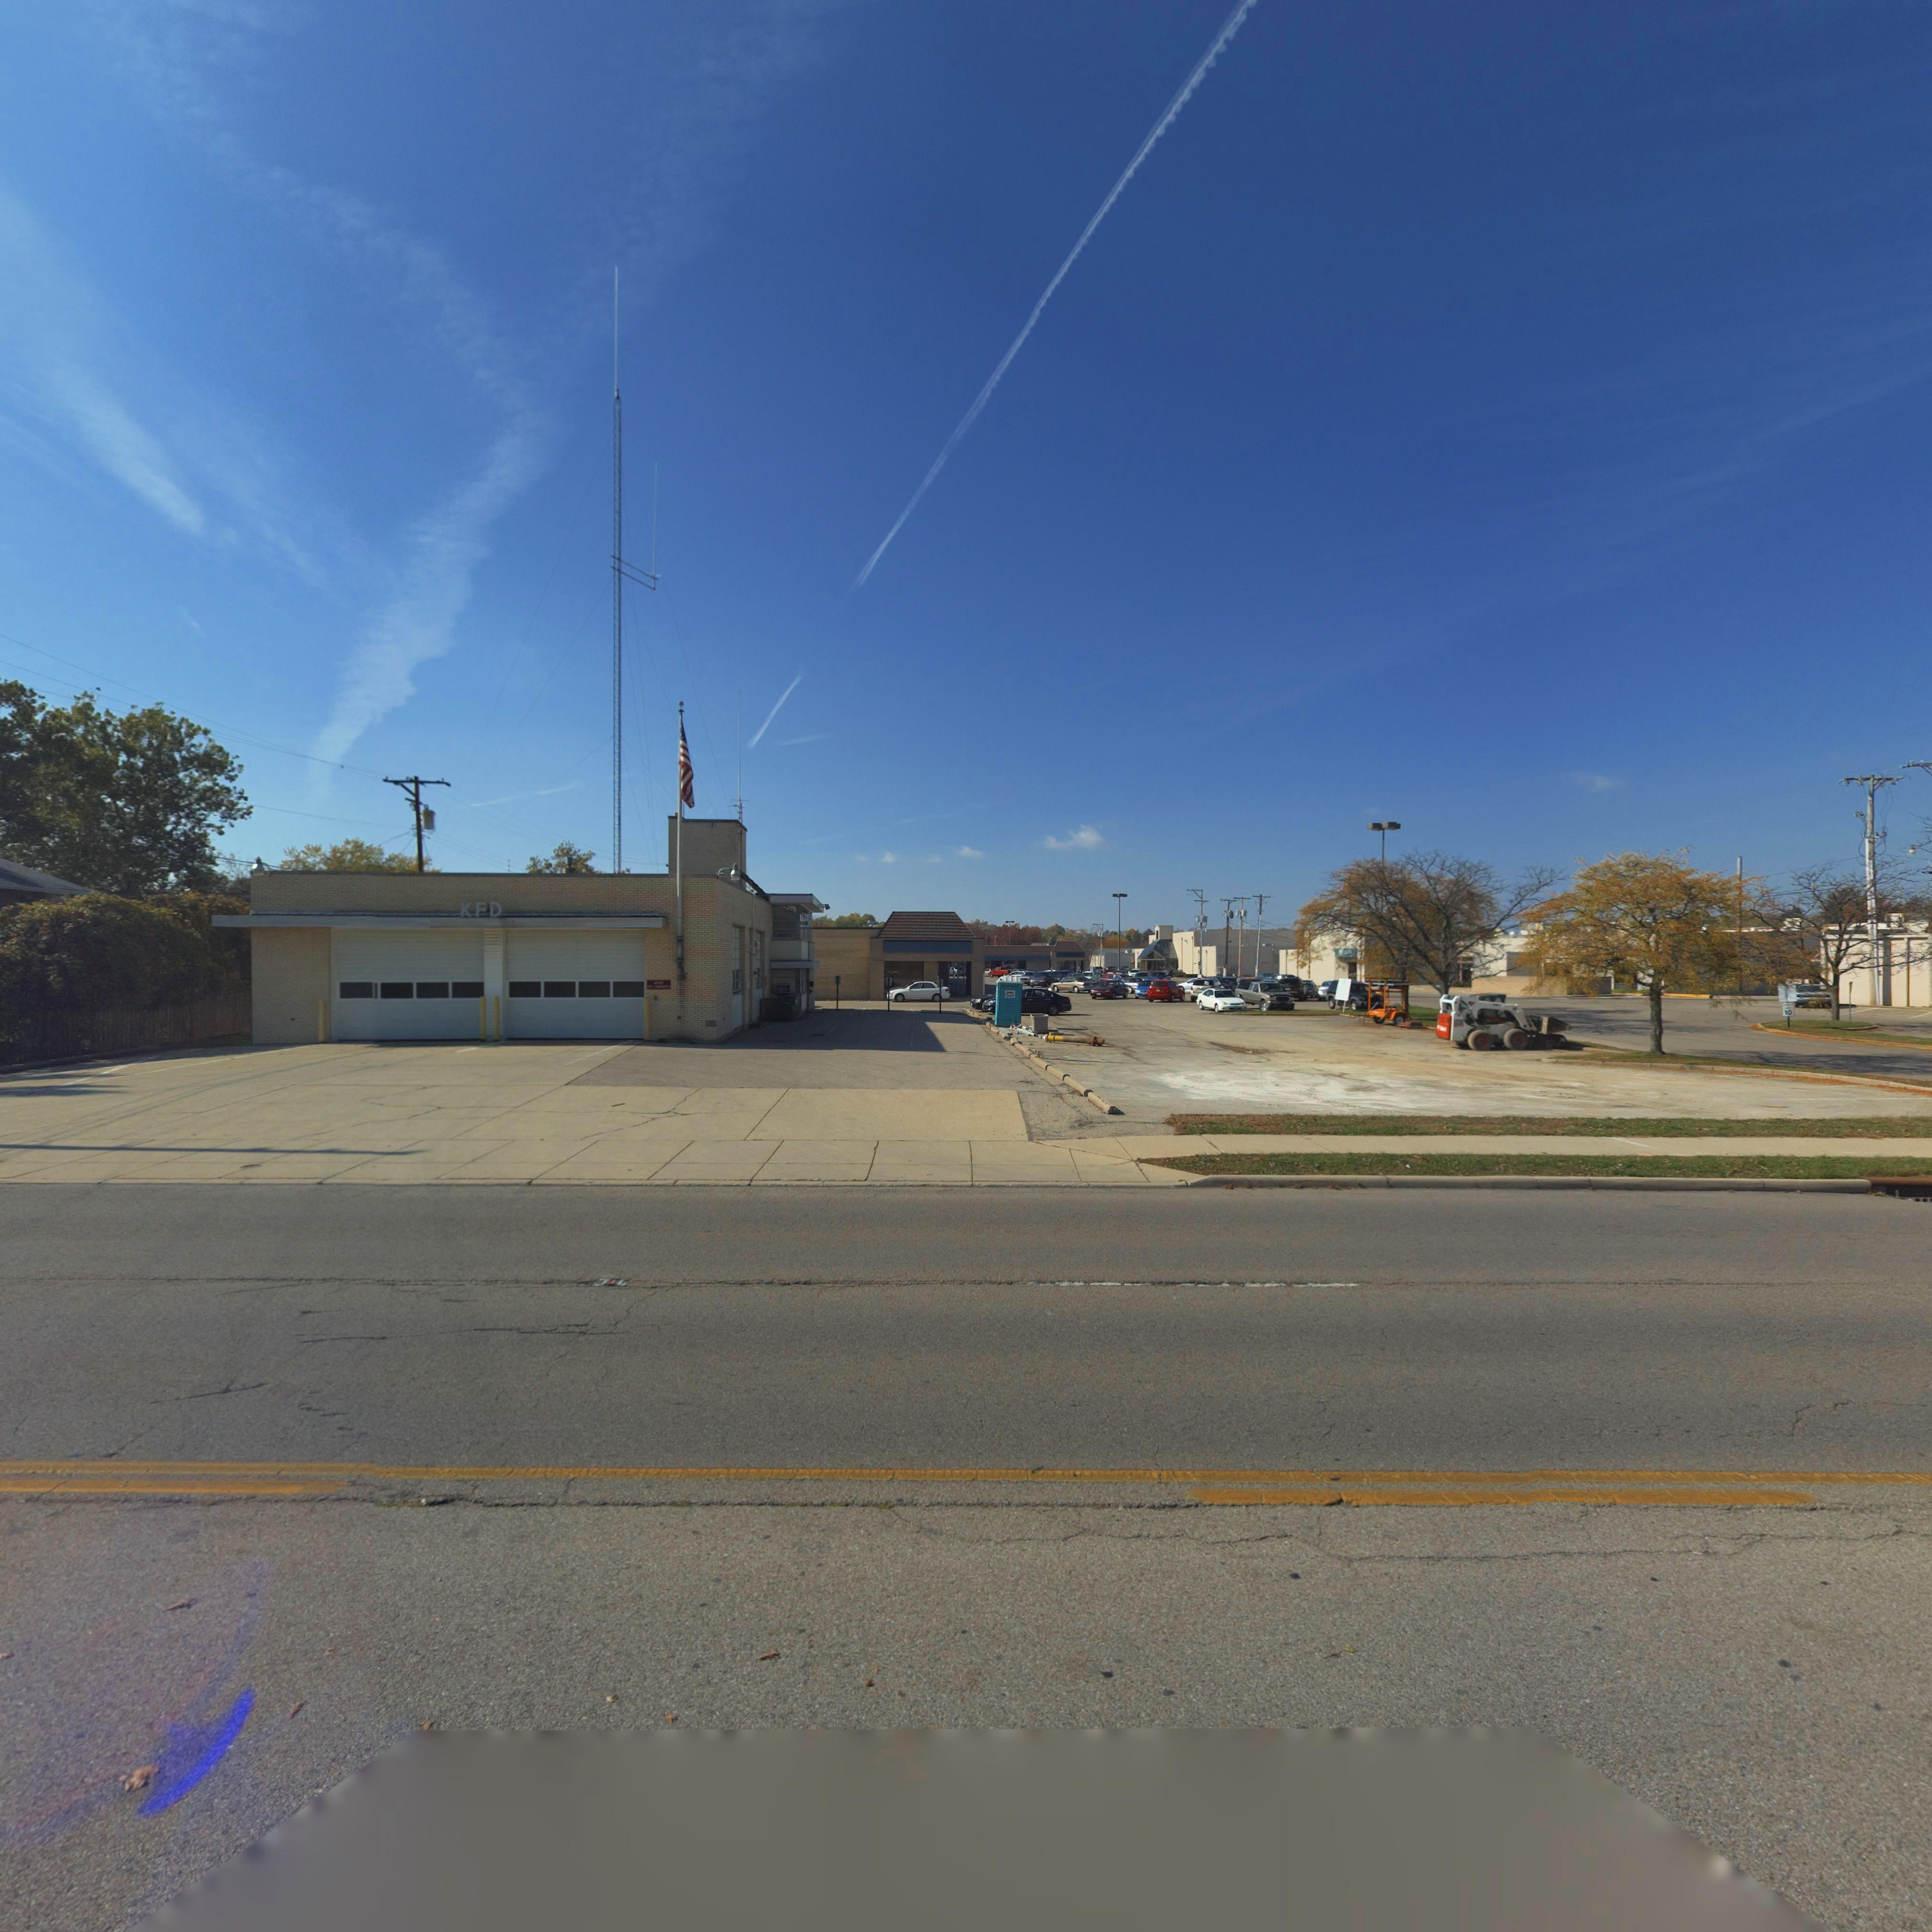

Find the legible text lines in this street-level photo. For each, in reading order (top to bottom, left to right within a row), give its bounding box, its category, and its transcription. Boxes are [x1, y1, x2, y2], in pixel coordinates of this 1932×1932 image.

[460, 901, 502, 918] None: KFD
[1784, 1010, 1792, 1015] None: 10